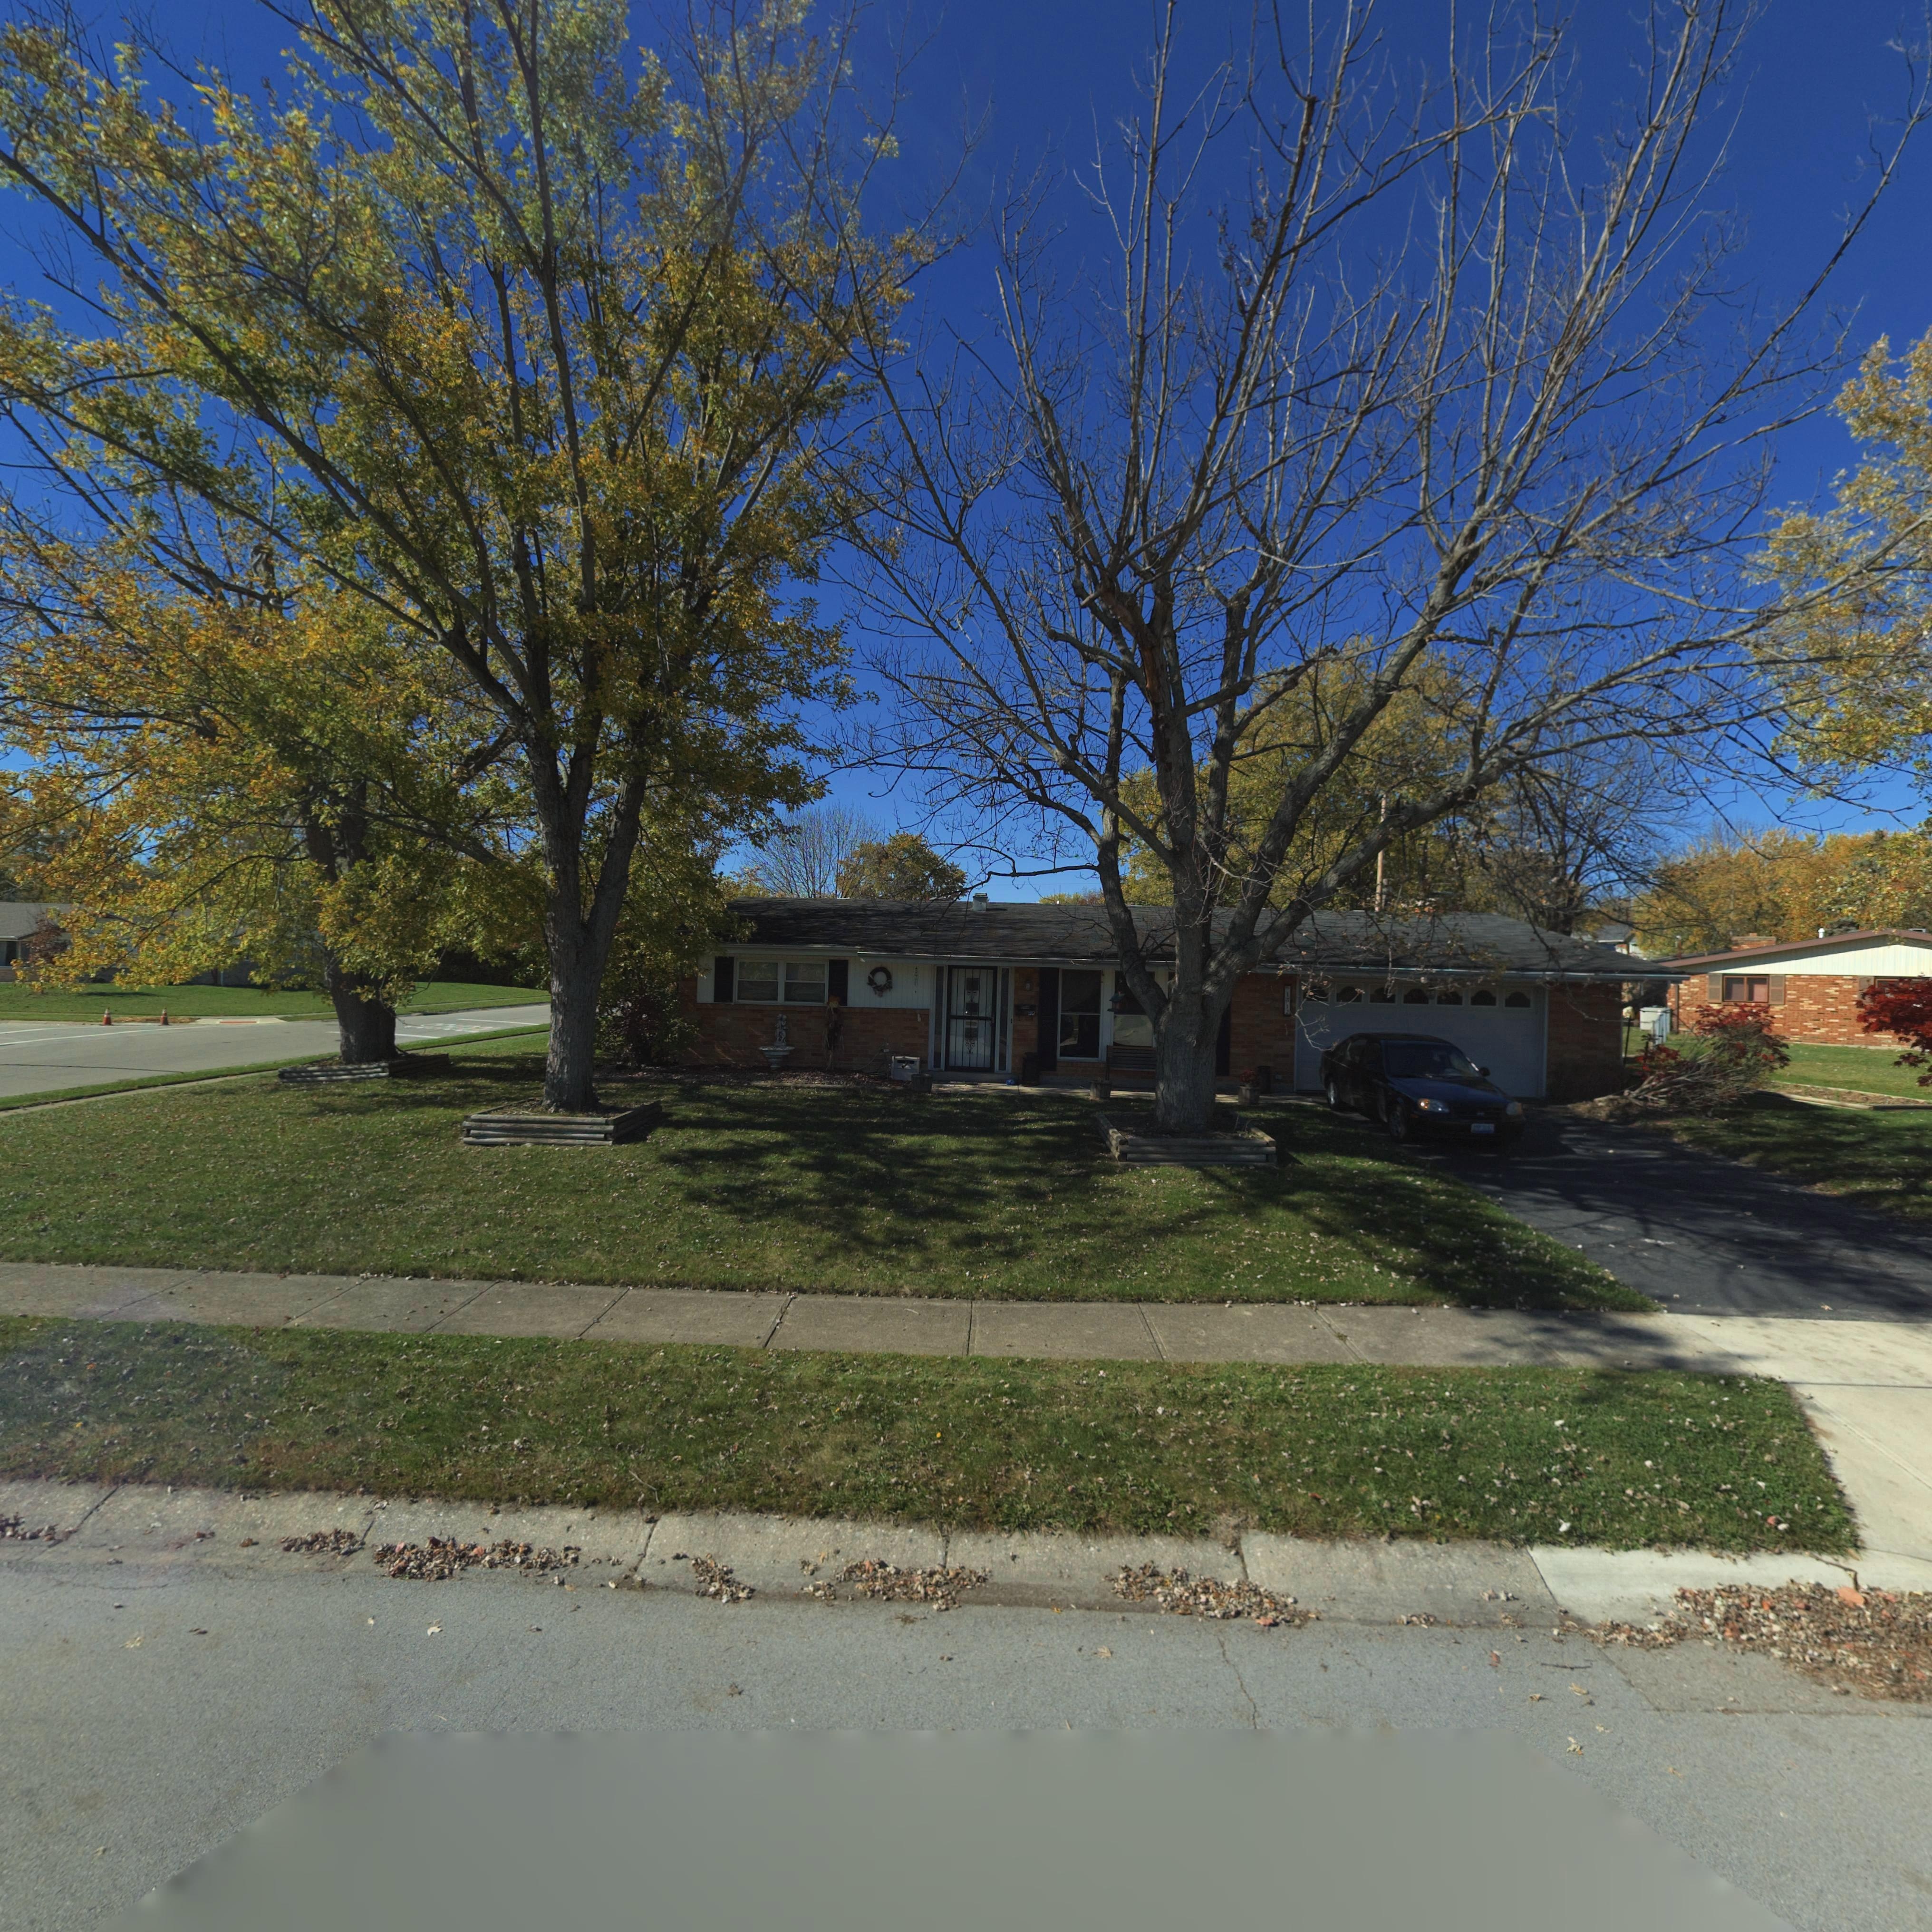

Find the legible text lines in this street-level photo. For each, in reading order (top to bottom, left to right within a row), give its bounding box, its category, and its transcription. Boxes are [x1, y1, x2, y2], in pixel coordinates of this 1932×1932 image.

[1285, 991, 1289, 1015] StreetNumber: 1*12